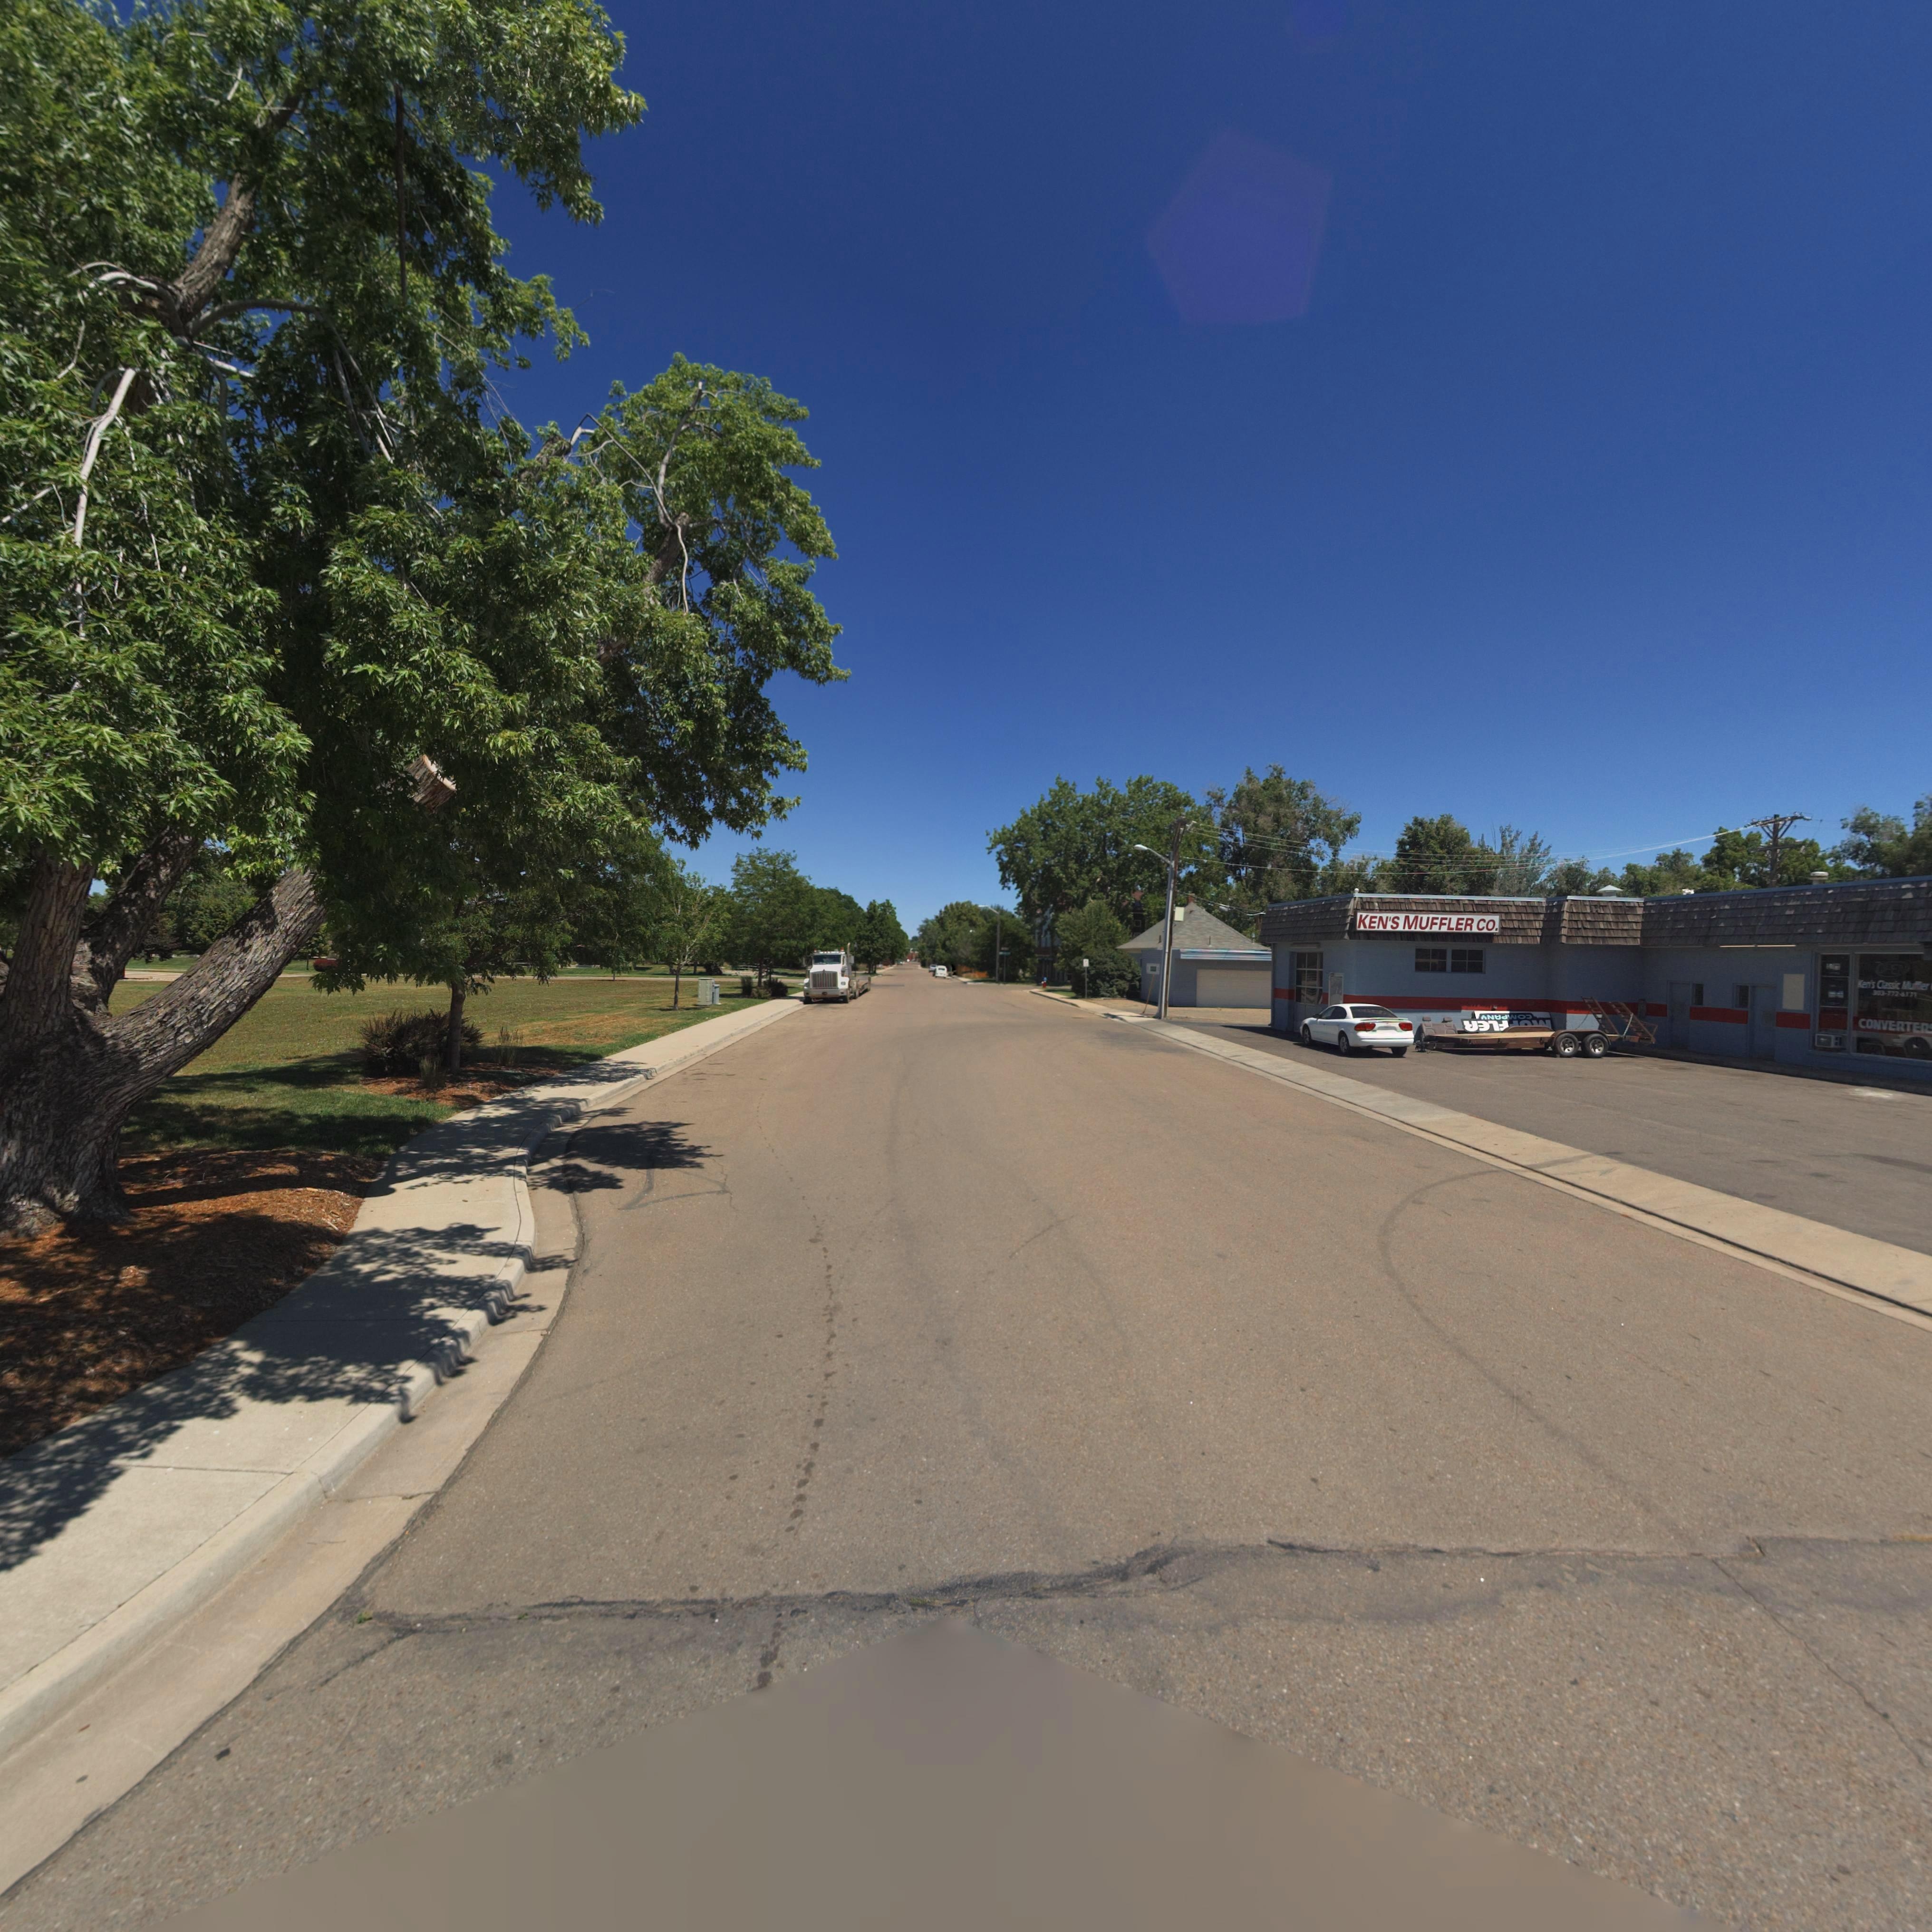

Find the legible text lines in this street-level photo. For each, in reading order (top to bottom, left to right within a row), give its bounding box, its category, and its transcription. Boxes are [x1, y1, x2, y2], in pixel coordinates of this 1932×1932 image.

[1356, 914, 1500, 931] BusinessName: KEN'S MUFFLER CO.
[1856, 979, 1930, 991] BusinessName: Ken's Classic Muffler